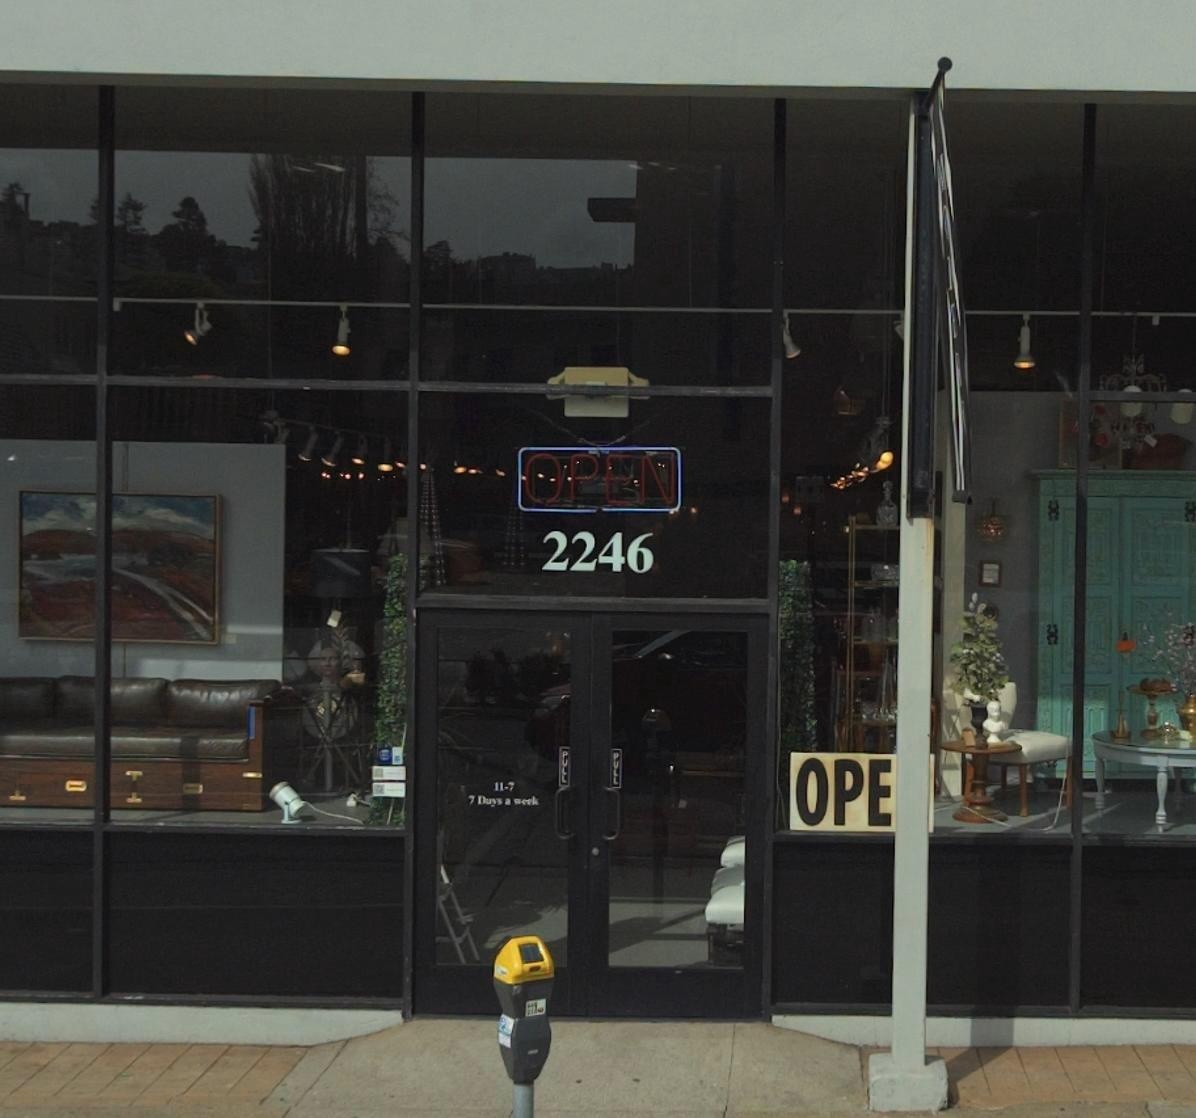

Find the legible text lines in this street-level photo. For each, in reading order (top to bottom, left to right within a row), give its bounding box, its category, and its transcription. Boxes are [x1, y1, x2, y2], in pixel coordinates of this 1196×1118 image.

[525, 453, 675, 504] None: OPEN
[541, 530, 655, 573] StreetNumber: 2246
[562, 750, 568, 783] None: PULL
[613, 752, 619, 785] None: PULL
[467, 794, 540, 808] None: 7 Days a week
[494, 781, 516, 791] None: 11-7
[795, 758, 891, 826] None: OPE